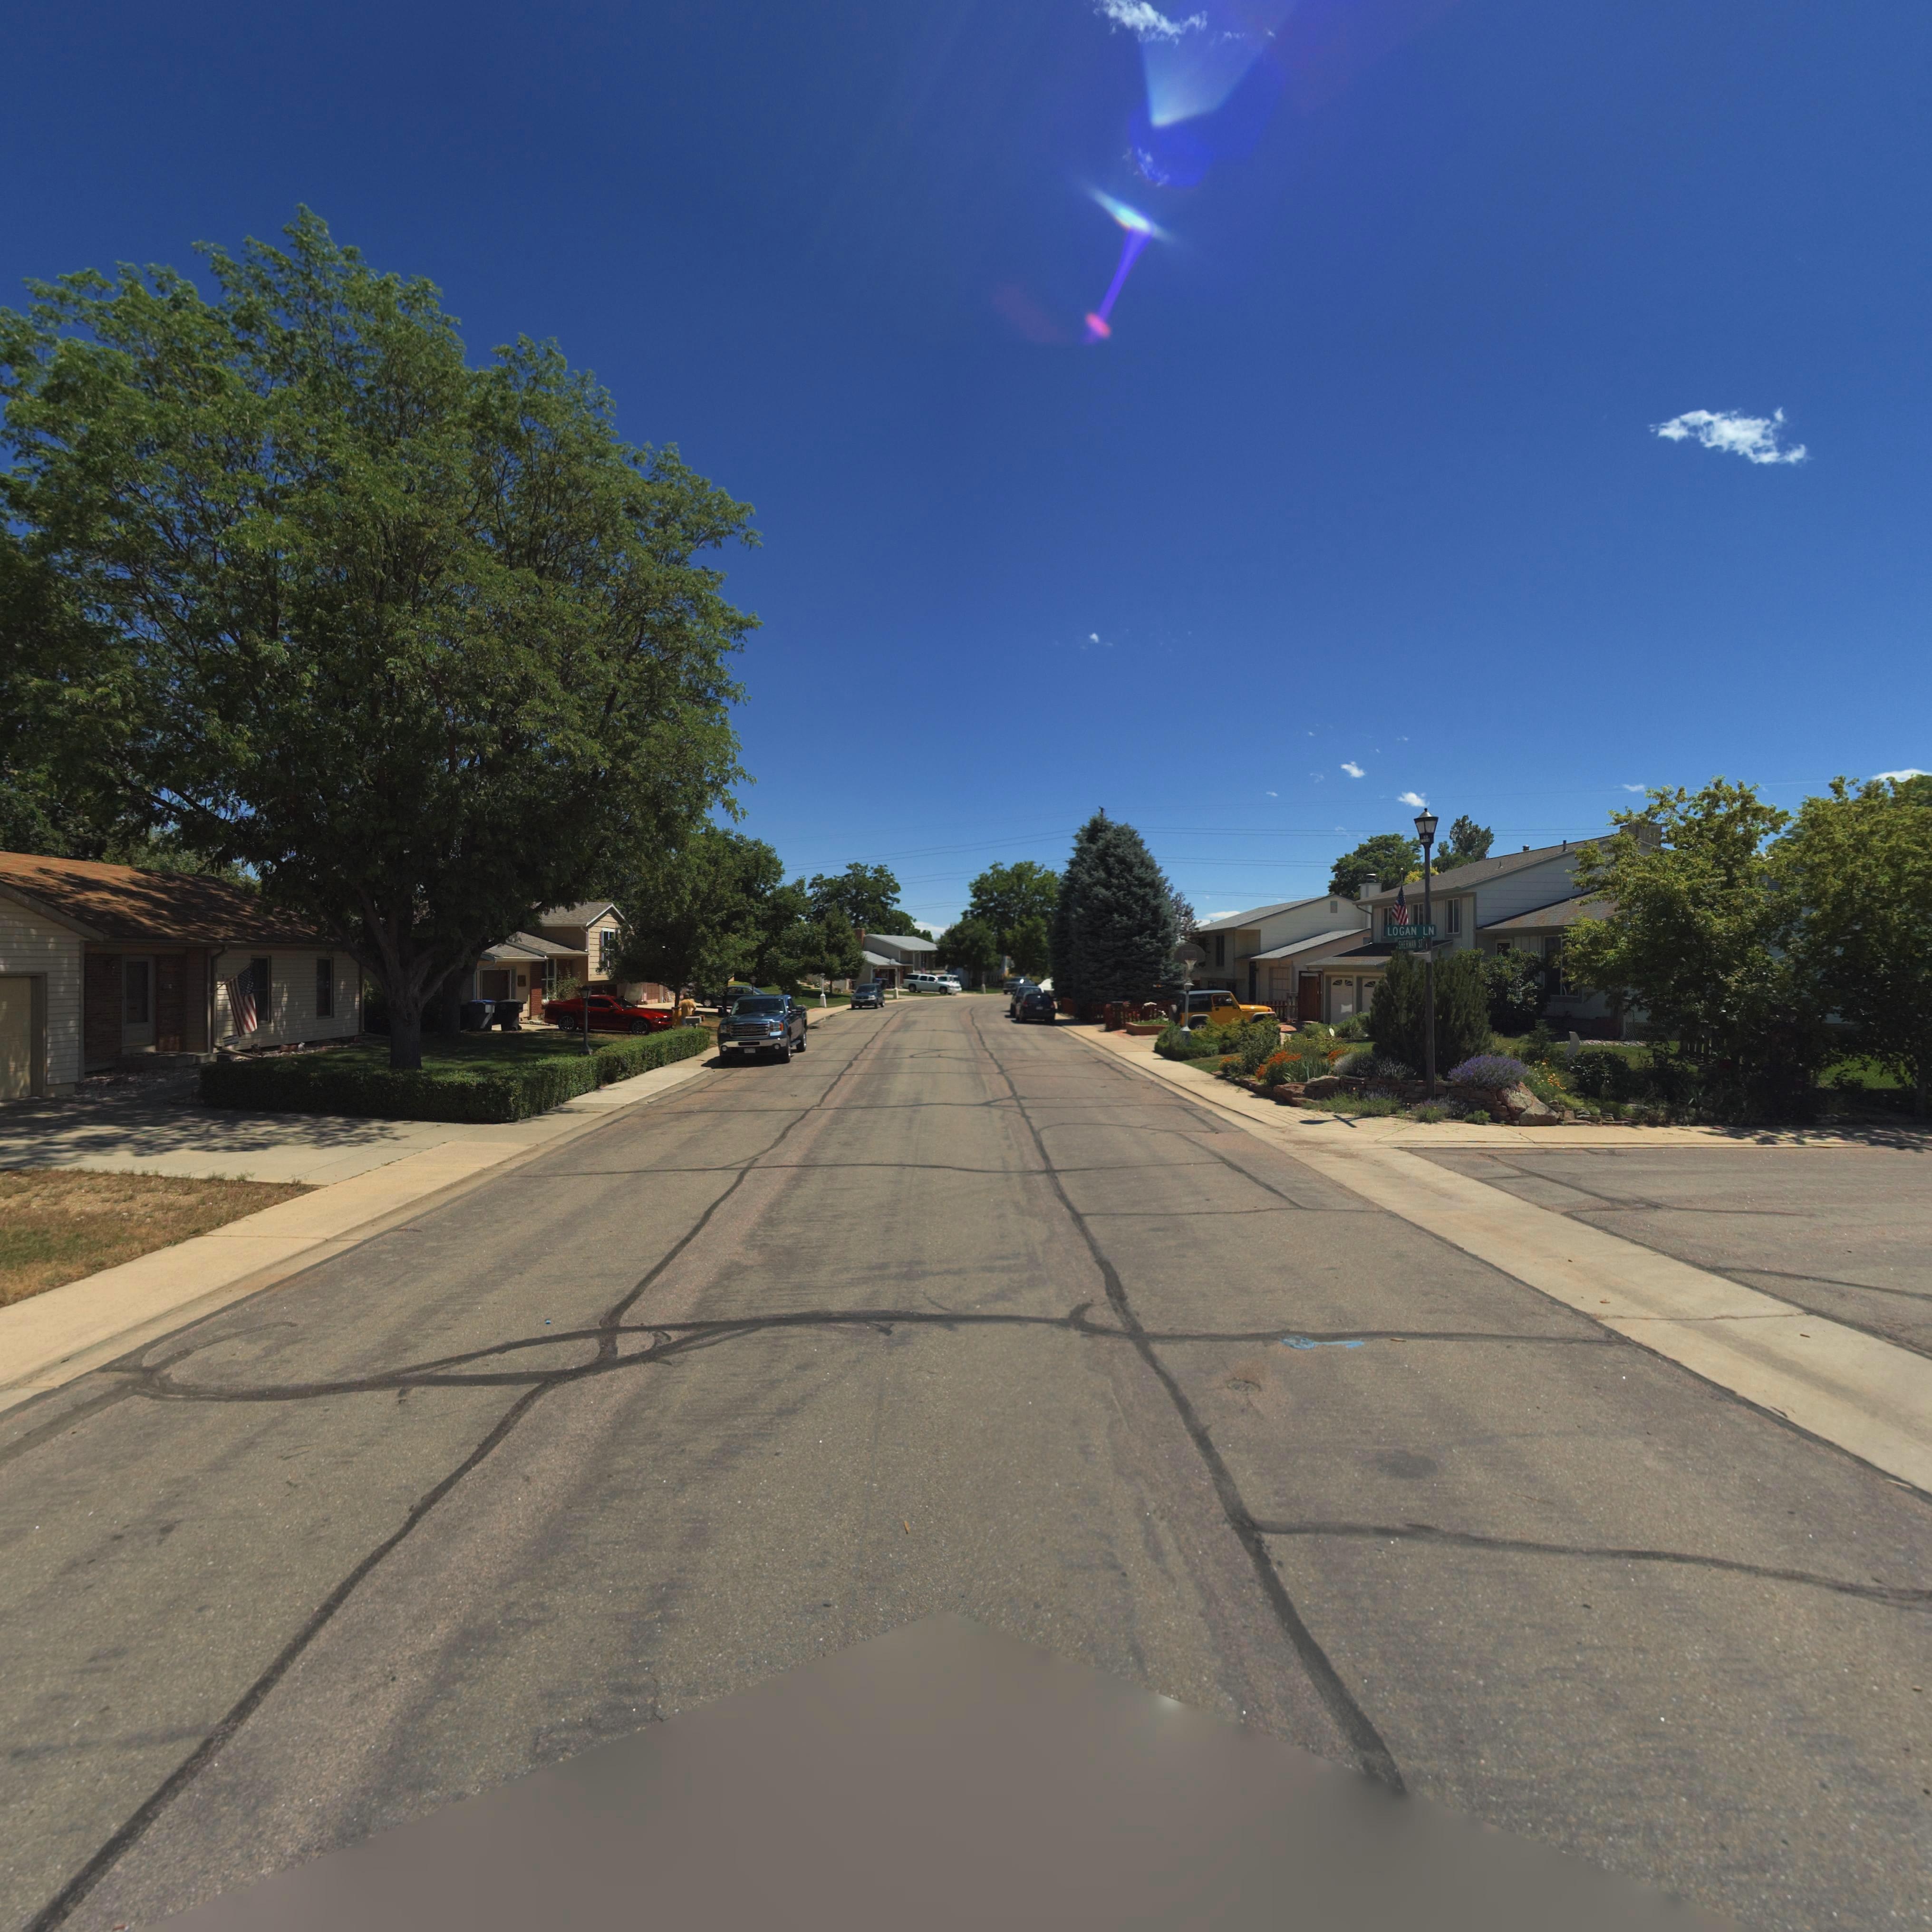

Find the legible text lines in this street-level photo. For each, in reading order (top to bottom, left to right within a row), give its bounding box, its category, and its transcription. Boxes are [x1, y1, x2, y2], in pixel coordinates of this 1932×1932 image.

[1387, 926, 1434, 936] StreetName: LOGAN LN
[1398, 938, 1423, 949] StreetName: S*ERM** ST